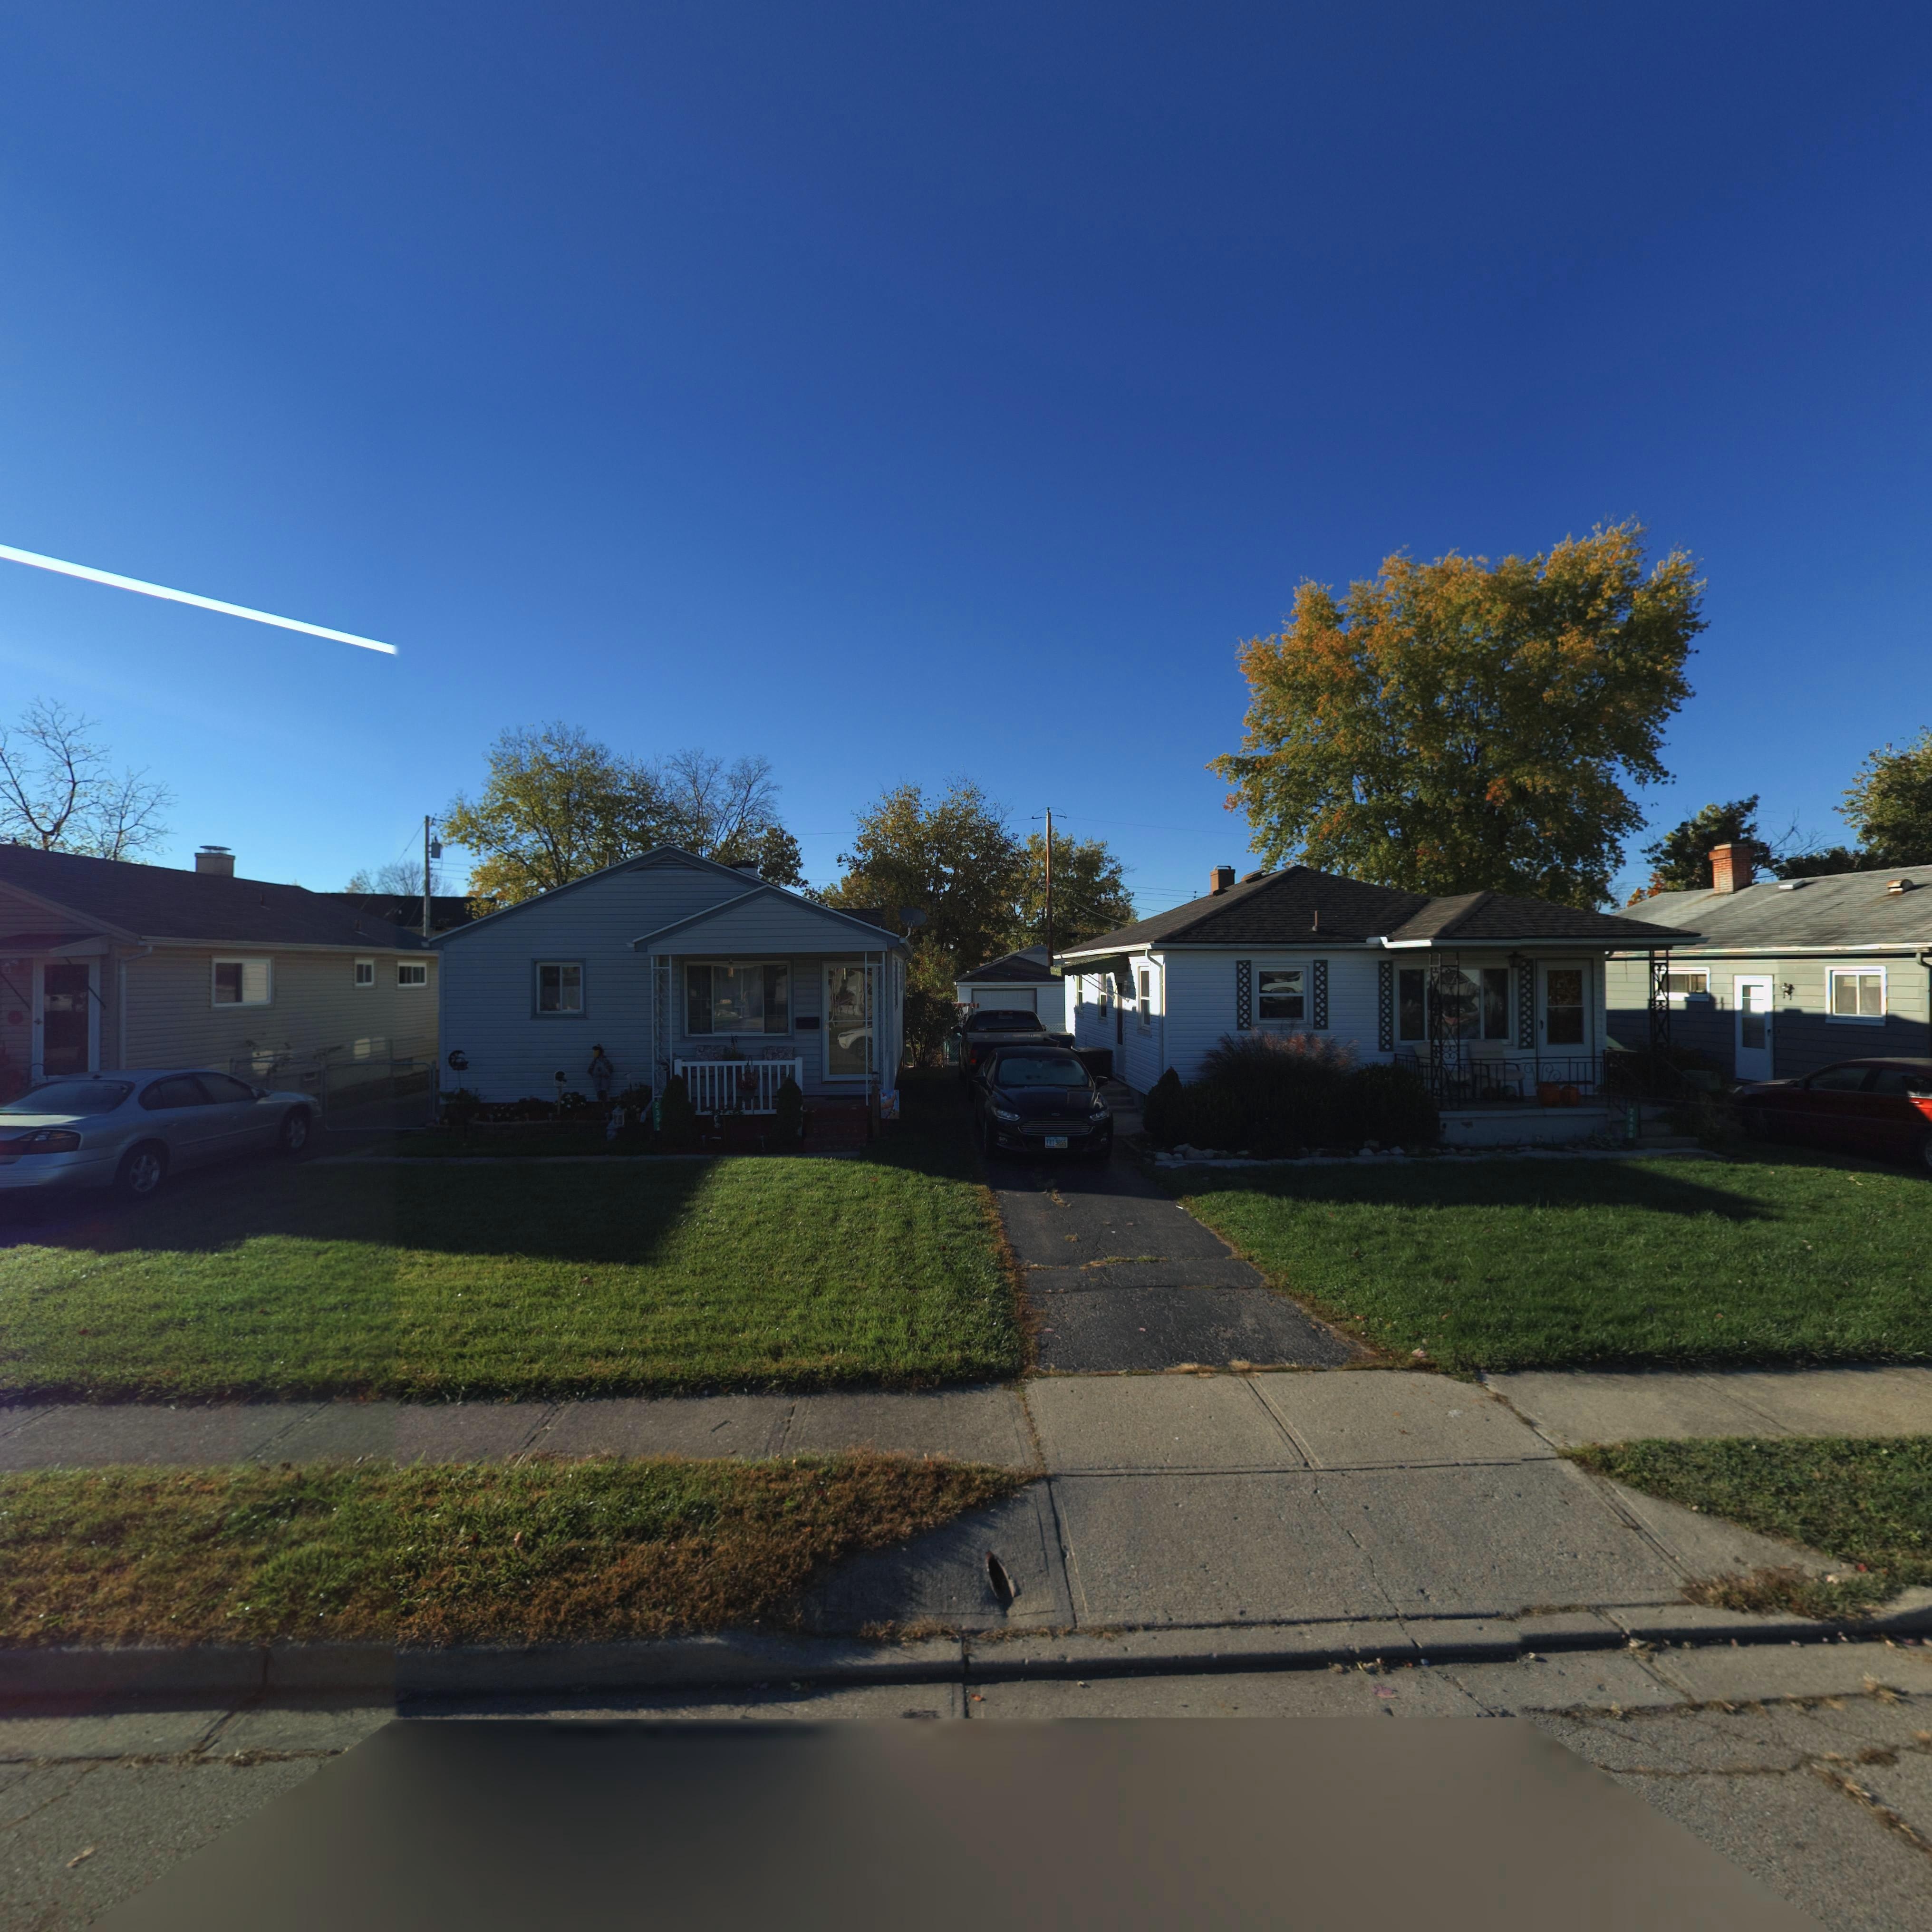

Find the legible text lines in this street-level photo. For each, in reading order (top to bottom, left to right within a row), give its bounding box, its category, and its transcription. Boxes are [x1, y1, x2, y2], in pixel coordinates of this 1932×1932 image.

[655, 1101, 661, 1131] StreetNumber: 2392
[1628, 1108, 1635, 1139] StreetNumber: 2400